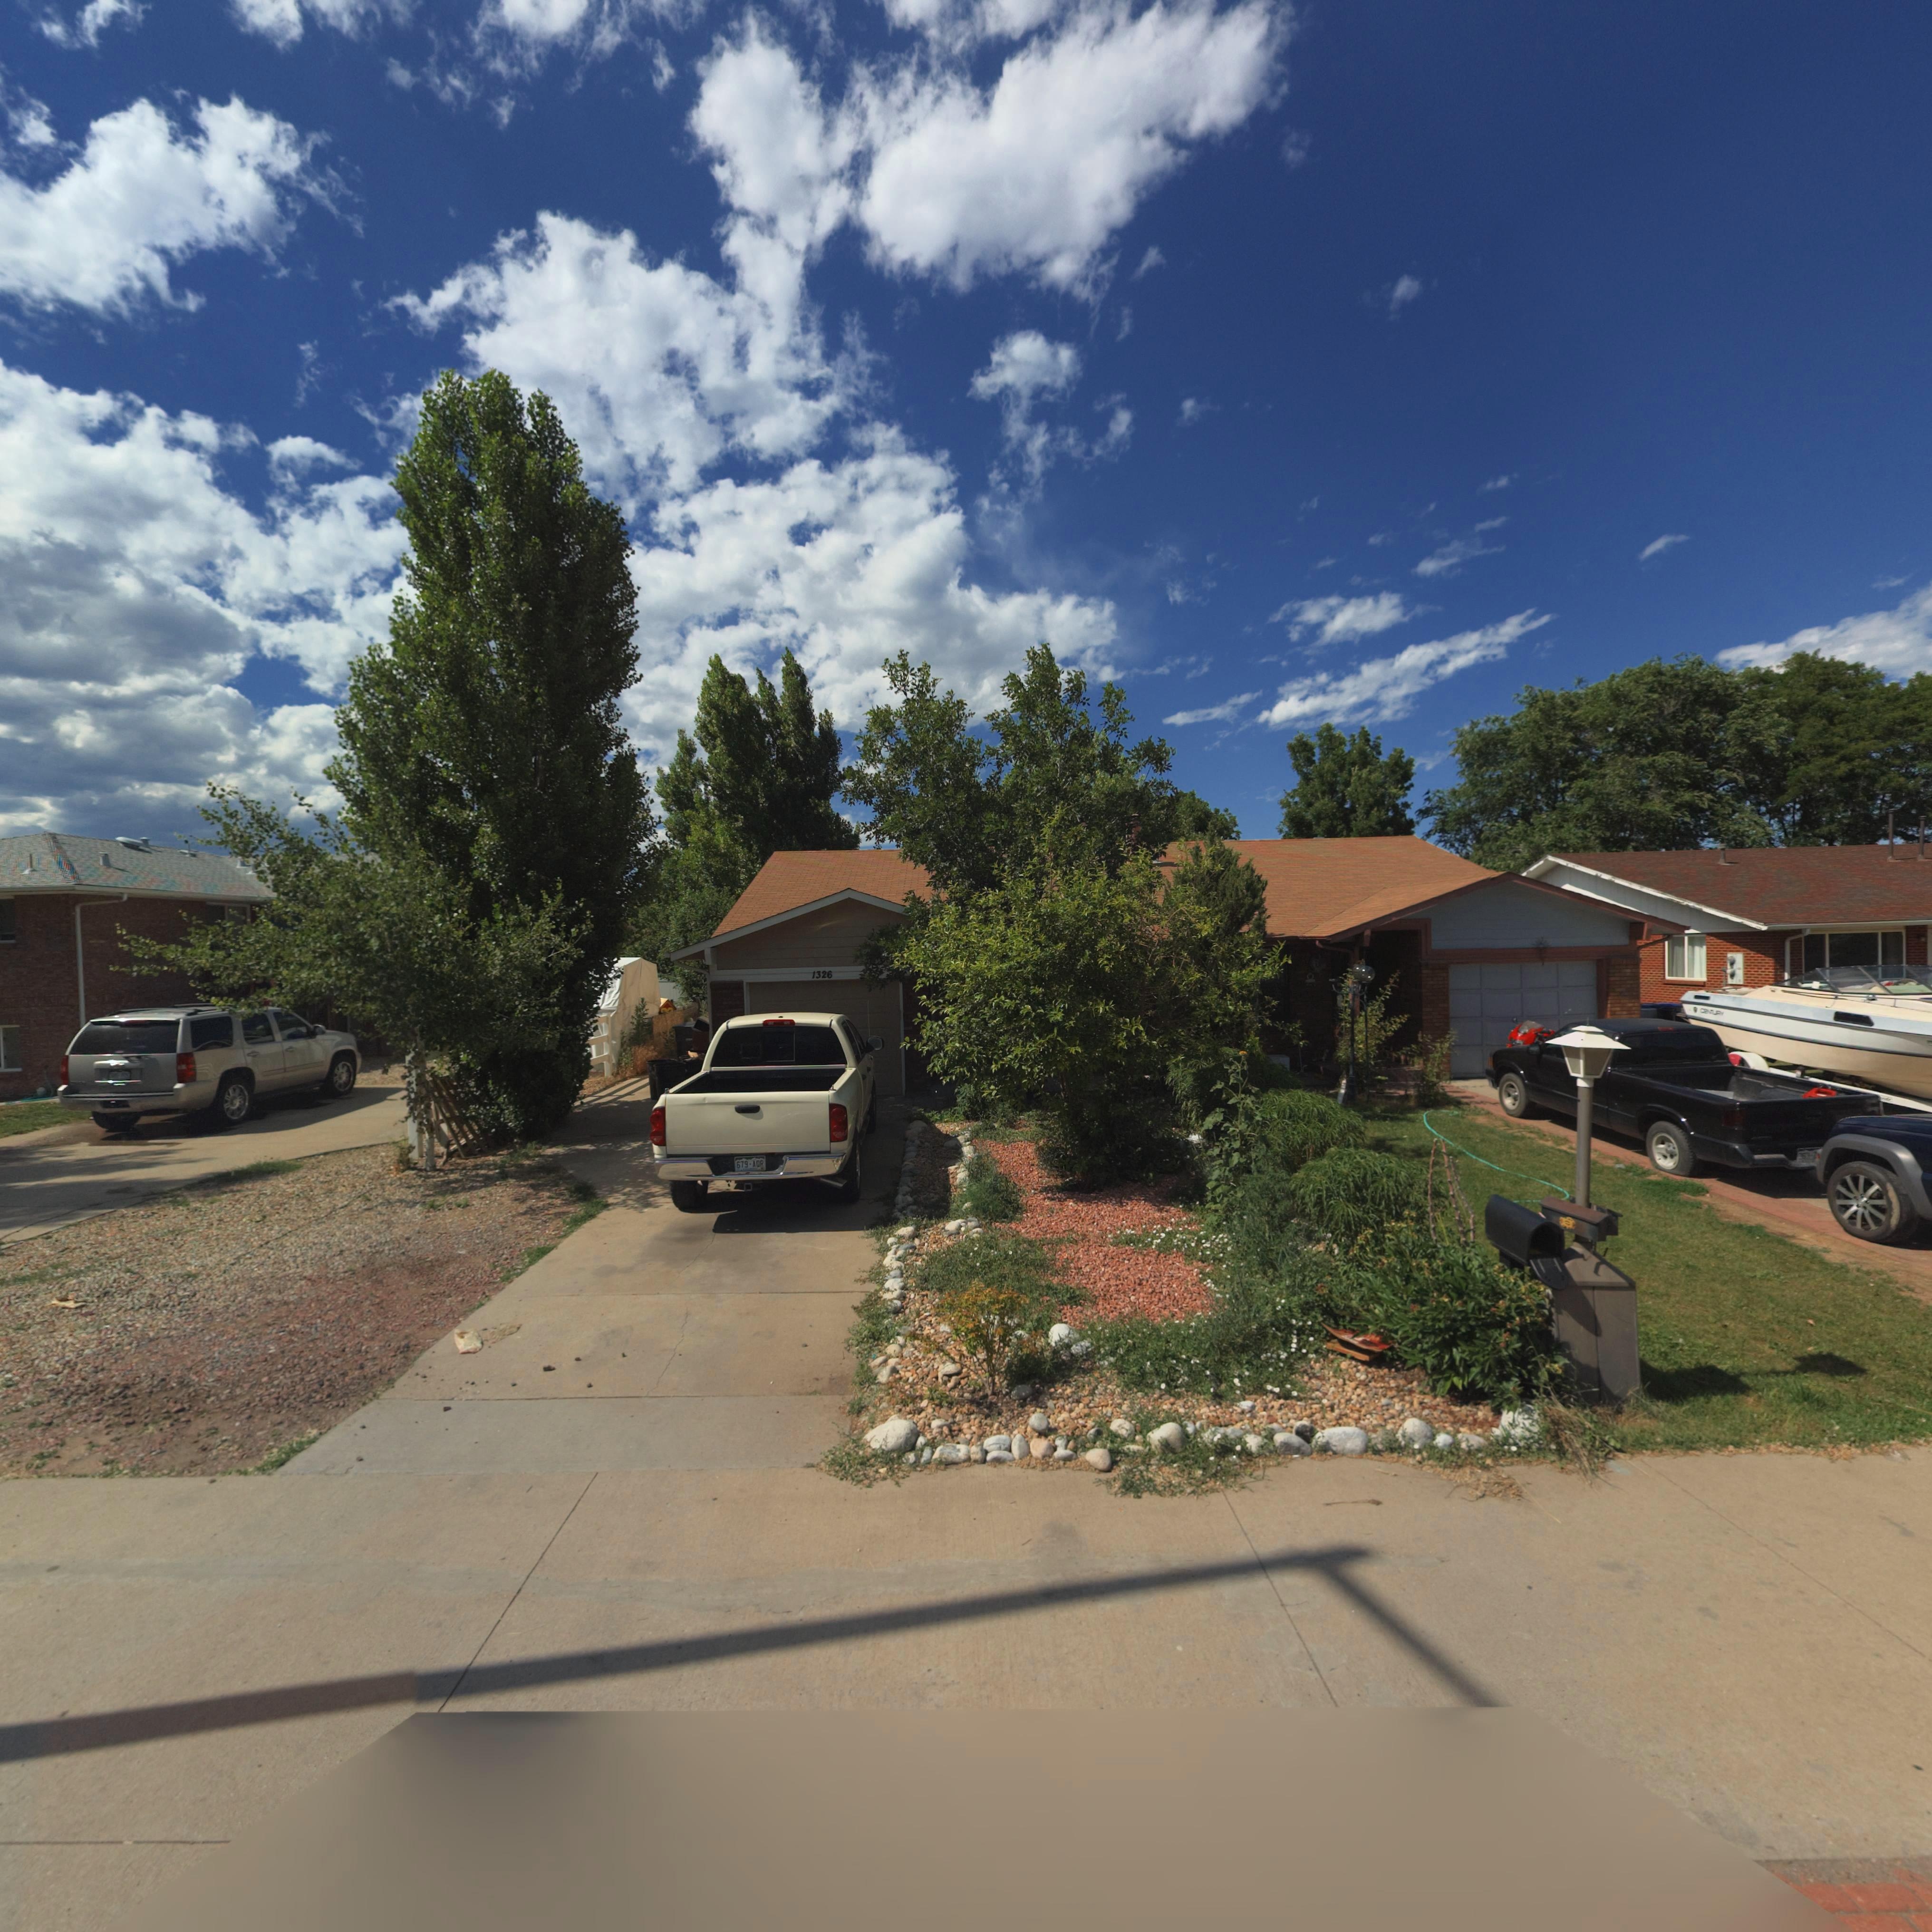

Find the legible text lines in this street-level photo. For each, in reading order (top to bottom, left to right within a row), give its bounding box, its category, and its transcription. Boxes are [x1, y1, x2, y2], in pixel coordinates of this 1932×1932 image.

[811, 970, 832, 979] StreetNumber: 1326